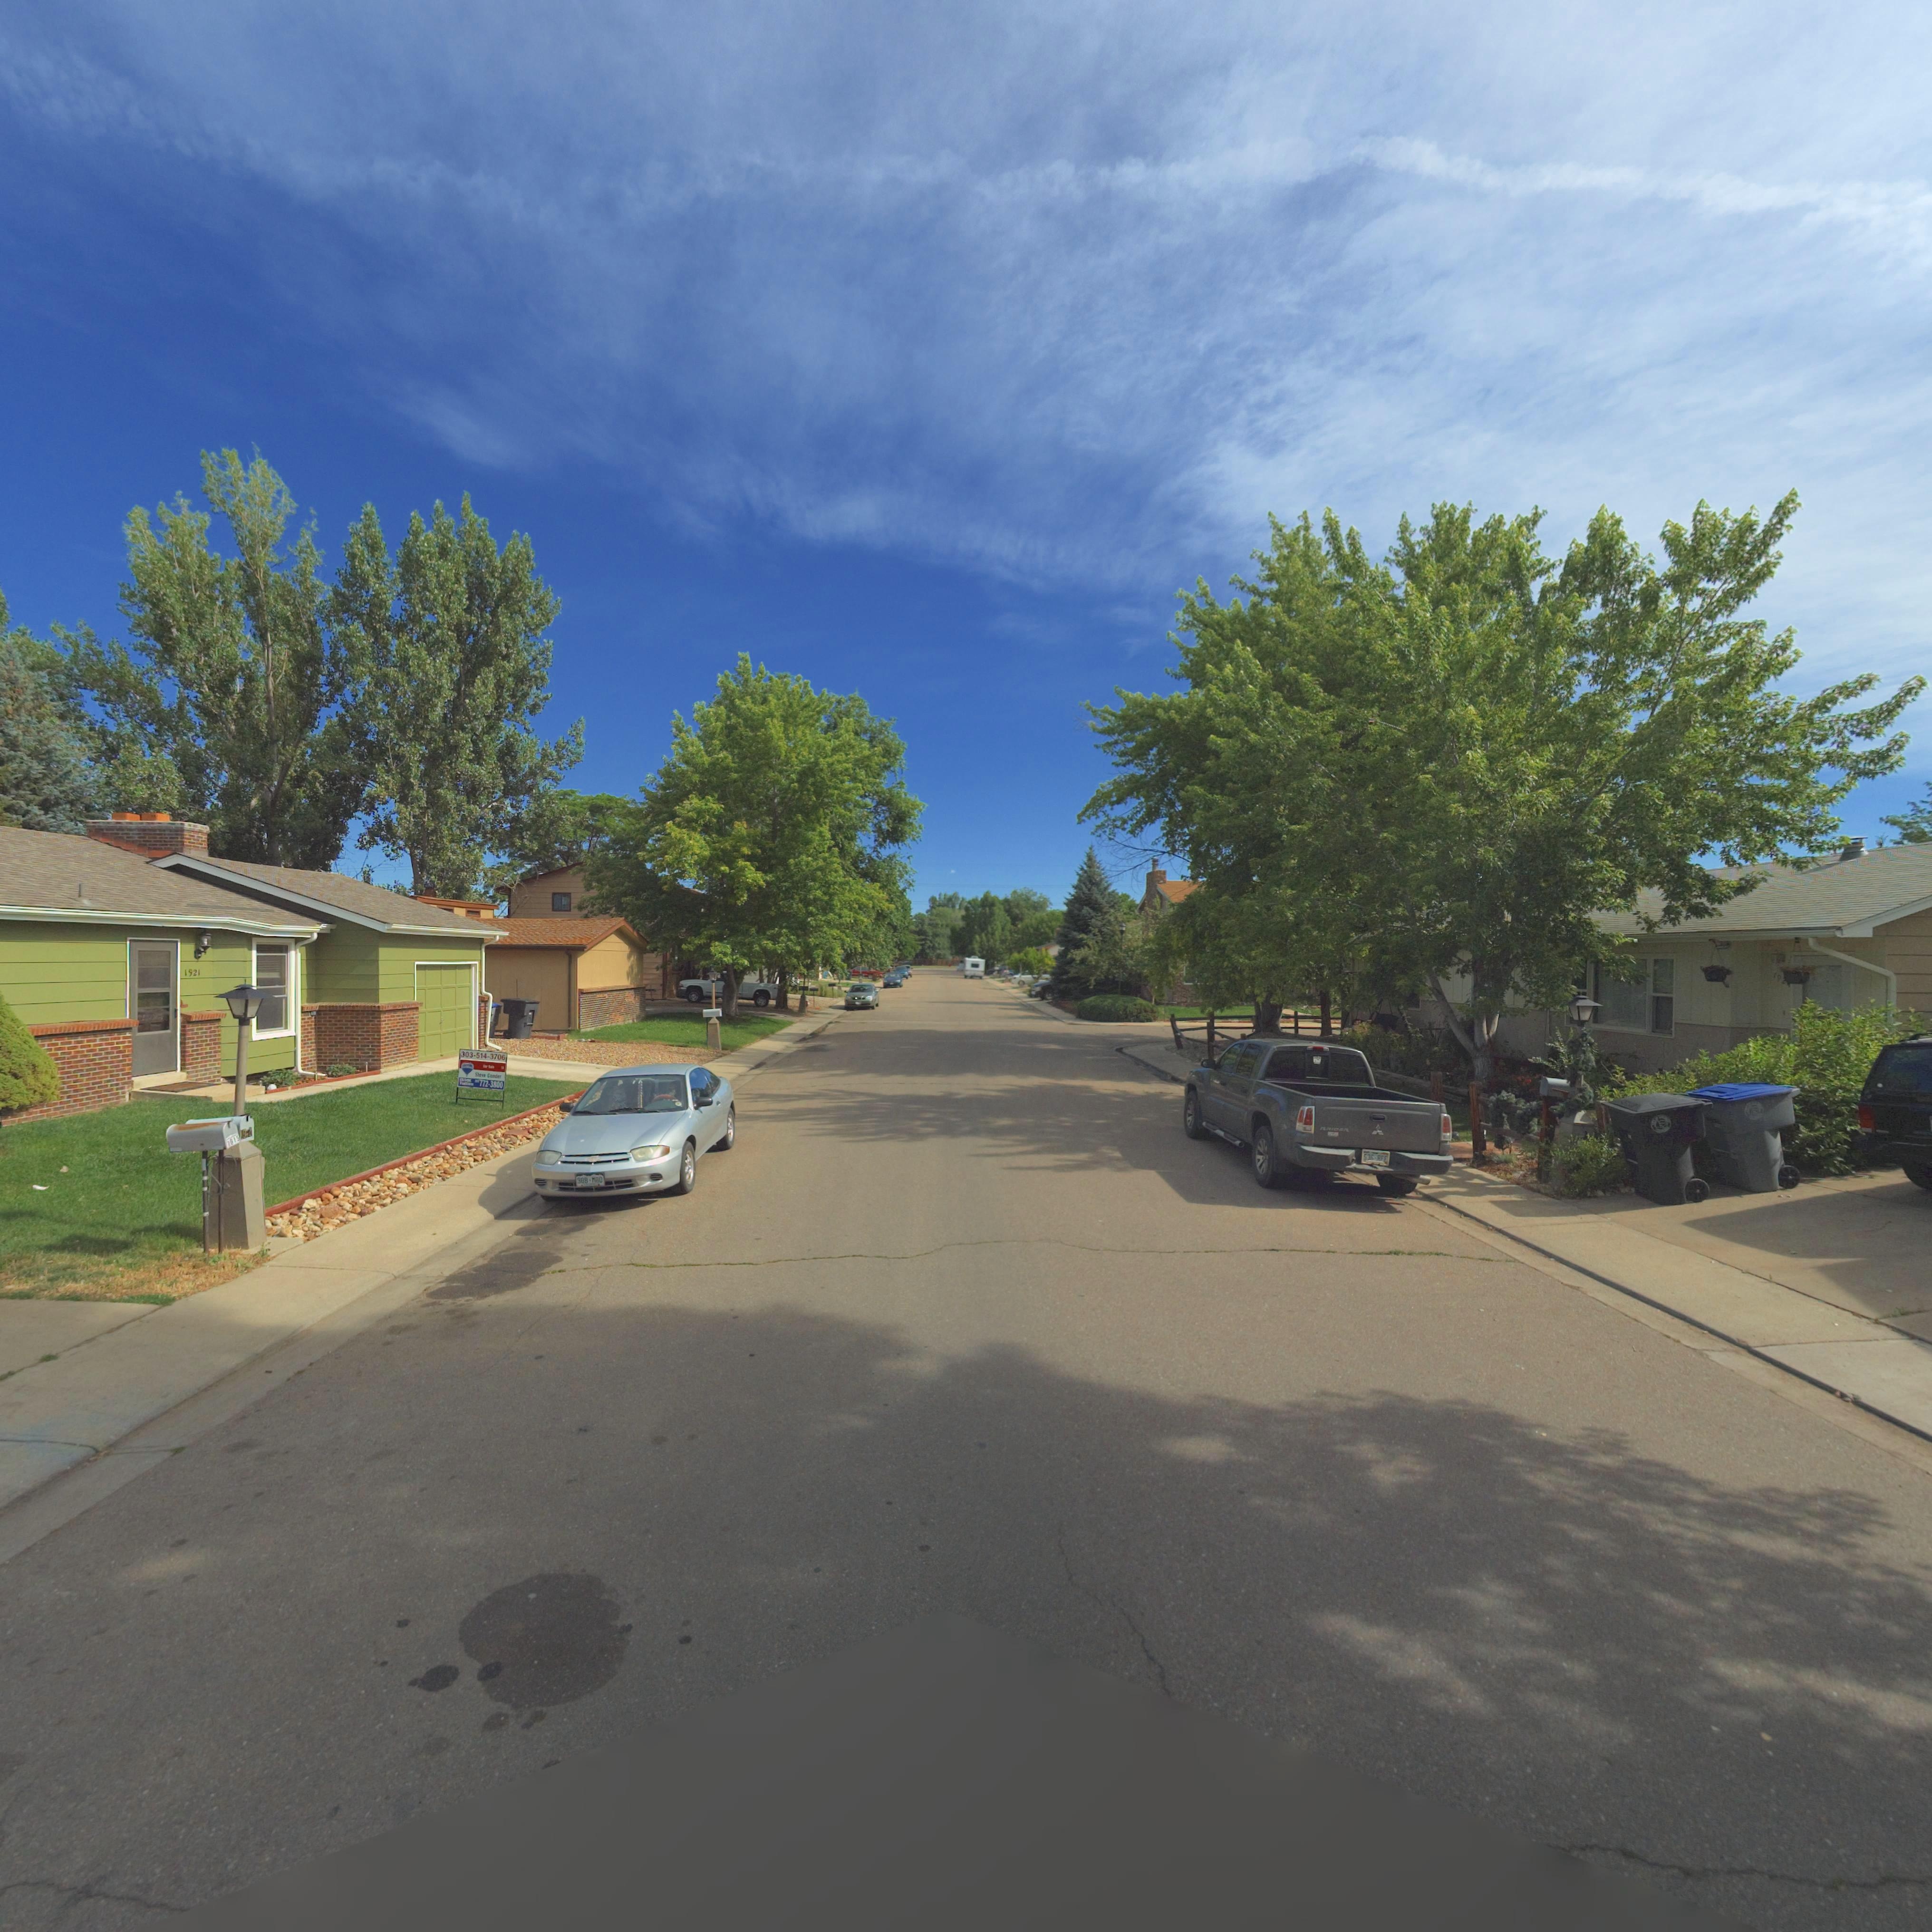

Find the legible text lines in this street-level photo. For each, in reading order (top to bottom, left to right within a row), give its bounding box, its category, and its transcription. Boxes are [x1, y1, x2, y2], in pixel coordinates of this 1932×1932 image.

[184, 968, 200, 977] StreetNumber: 1921
[240, 1127, 251, 1140] StreetNumber: 1917
[226, 1134, 240, 1147] StreetNumber: 1915